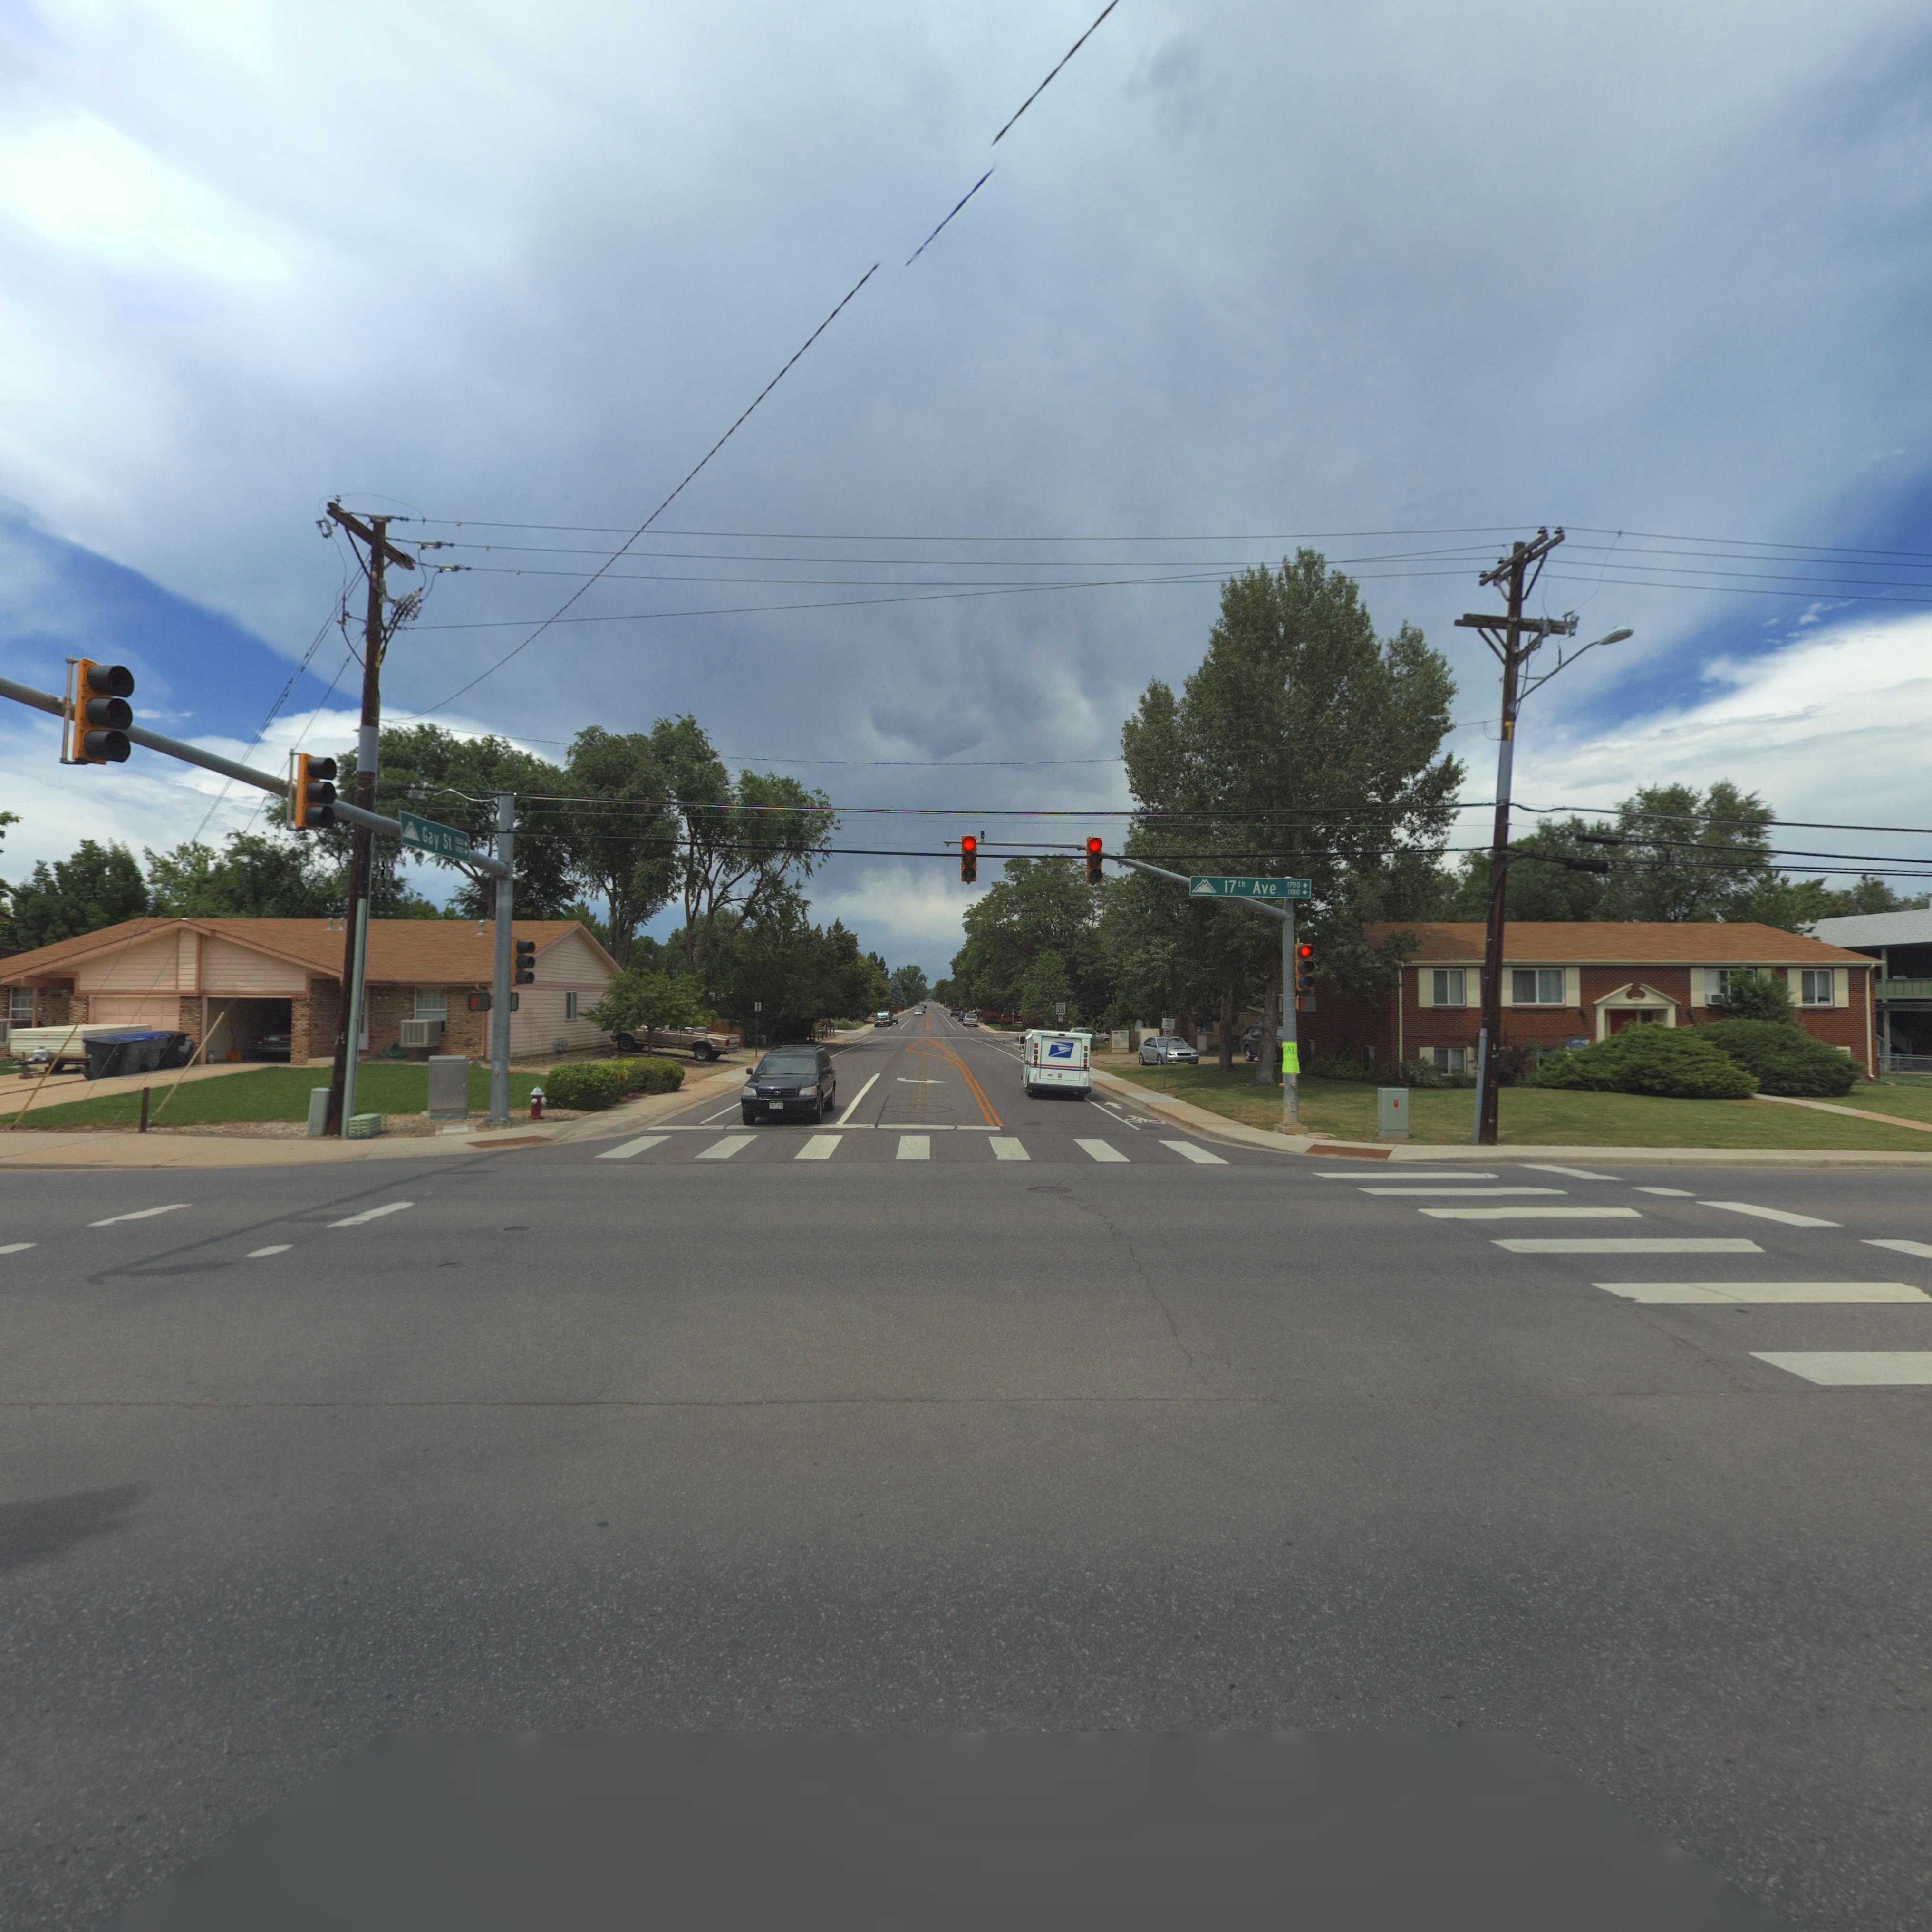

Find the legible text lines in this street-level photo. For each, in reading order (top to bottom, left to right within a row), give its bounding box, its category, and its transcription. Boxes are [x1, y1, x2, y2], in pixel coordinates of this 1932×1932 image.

[421, 825, 453, 851] StreetName: Gay St
[454, 836, 464, 846] StreetNumberRange: 1200
[454, 844, 468, 855] StreetNumberRange: **00->
[1223, 879, 1277, 895] StreetName: 17th Ave
[1286, 880, 1300, 888] StreetNumberRange: 1700
[1287, 889, 1309, 895] StreetNumberRange: 1100->